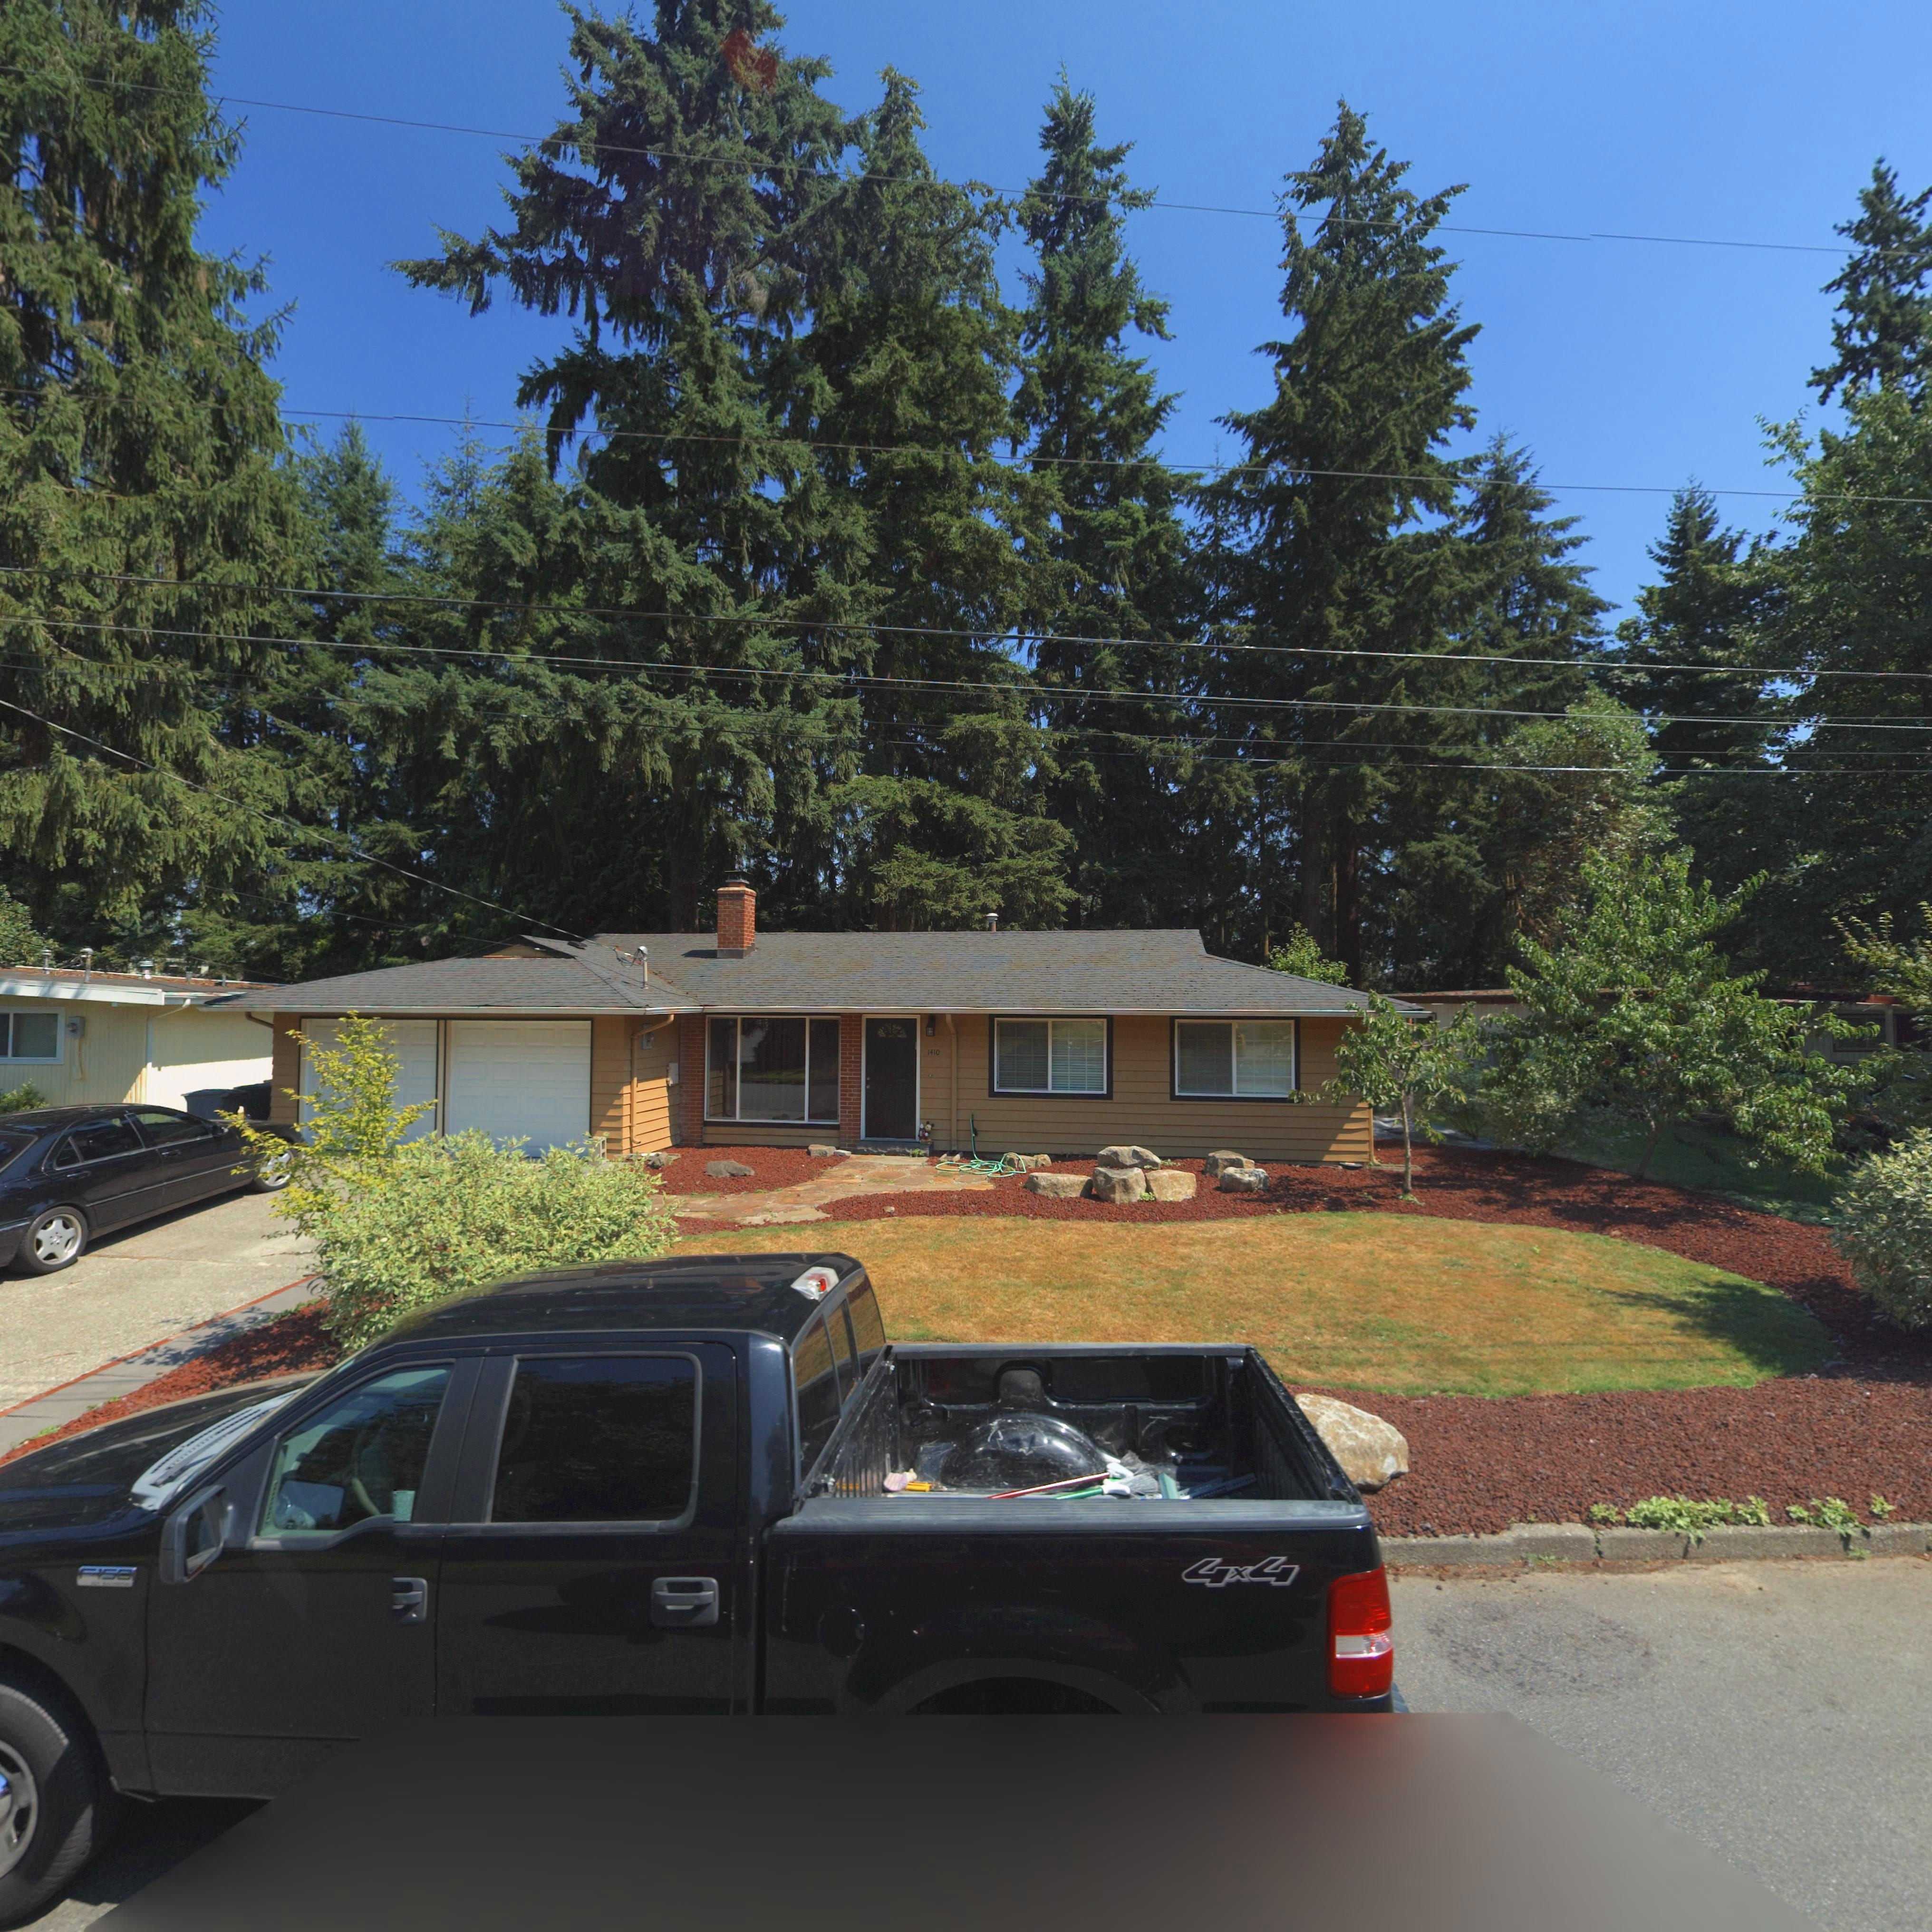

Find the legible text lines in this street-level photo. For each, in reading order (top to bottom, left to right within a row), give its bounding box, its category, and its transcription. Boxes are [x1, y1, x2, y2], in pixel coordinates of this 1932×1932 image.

[927, 1049, 939, 1054] StreetNumber: 1410